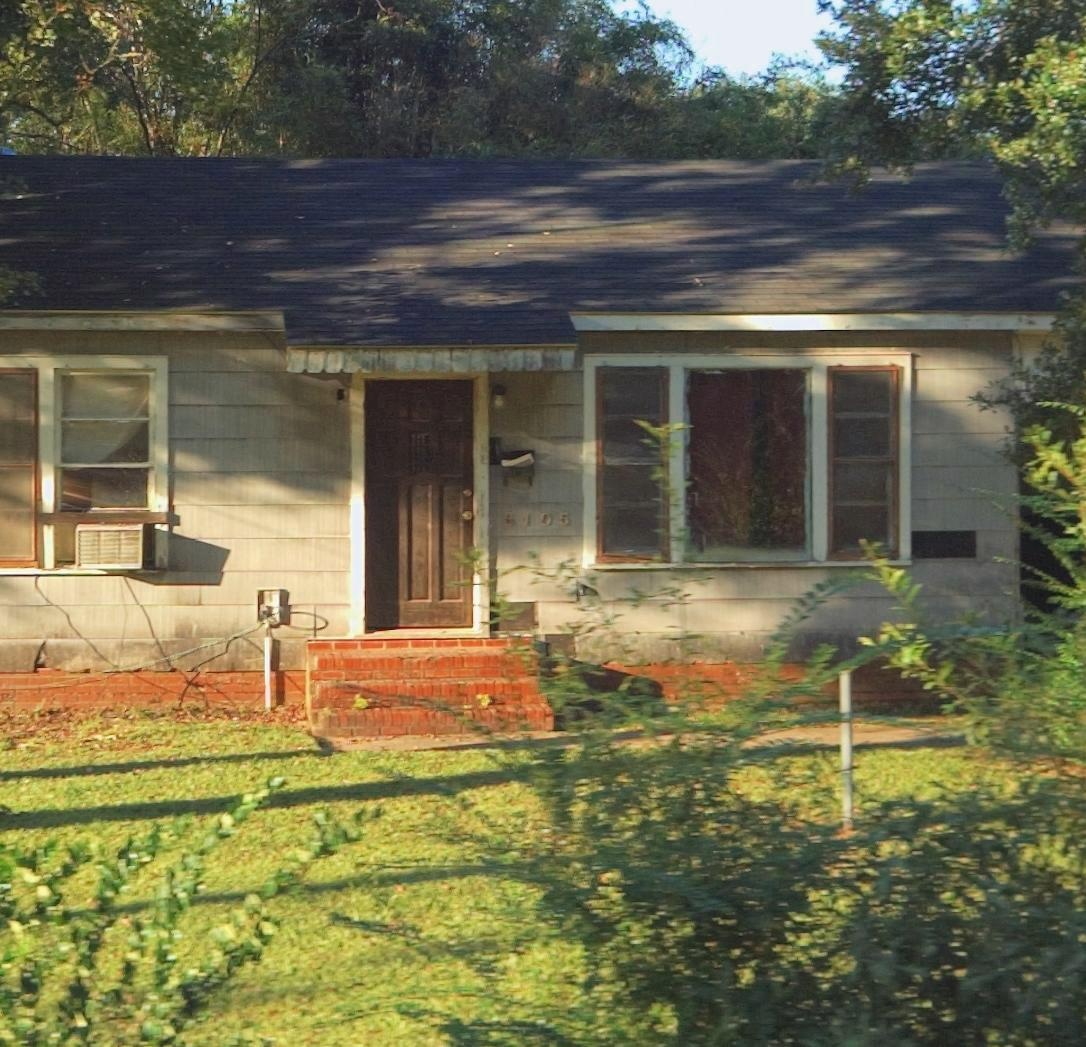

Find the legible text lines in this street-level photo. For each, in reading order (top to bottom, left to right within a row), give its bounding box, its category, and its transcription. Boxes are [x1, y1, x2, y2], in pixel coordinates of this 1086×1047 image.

[504, 510, 572, 528] StreetNumber: 6105